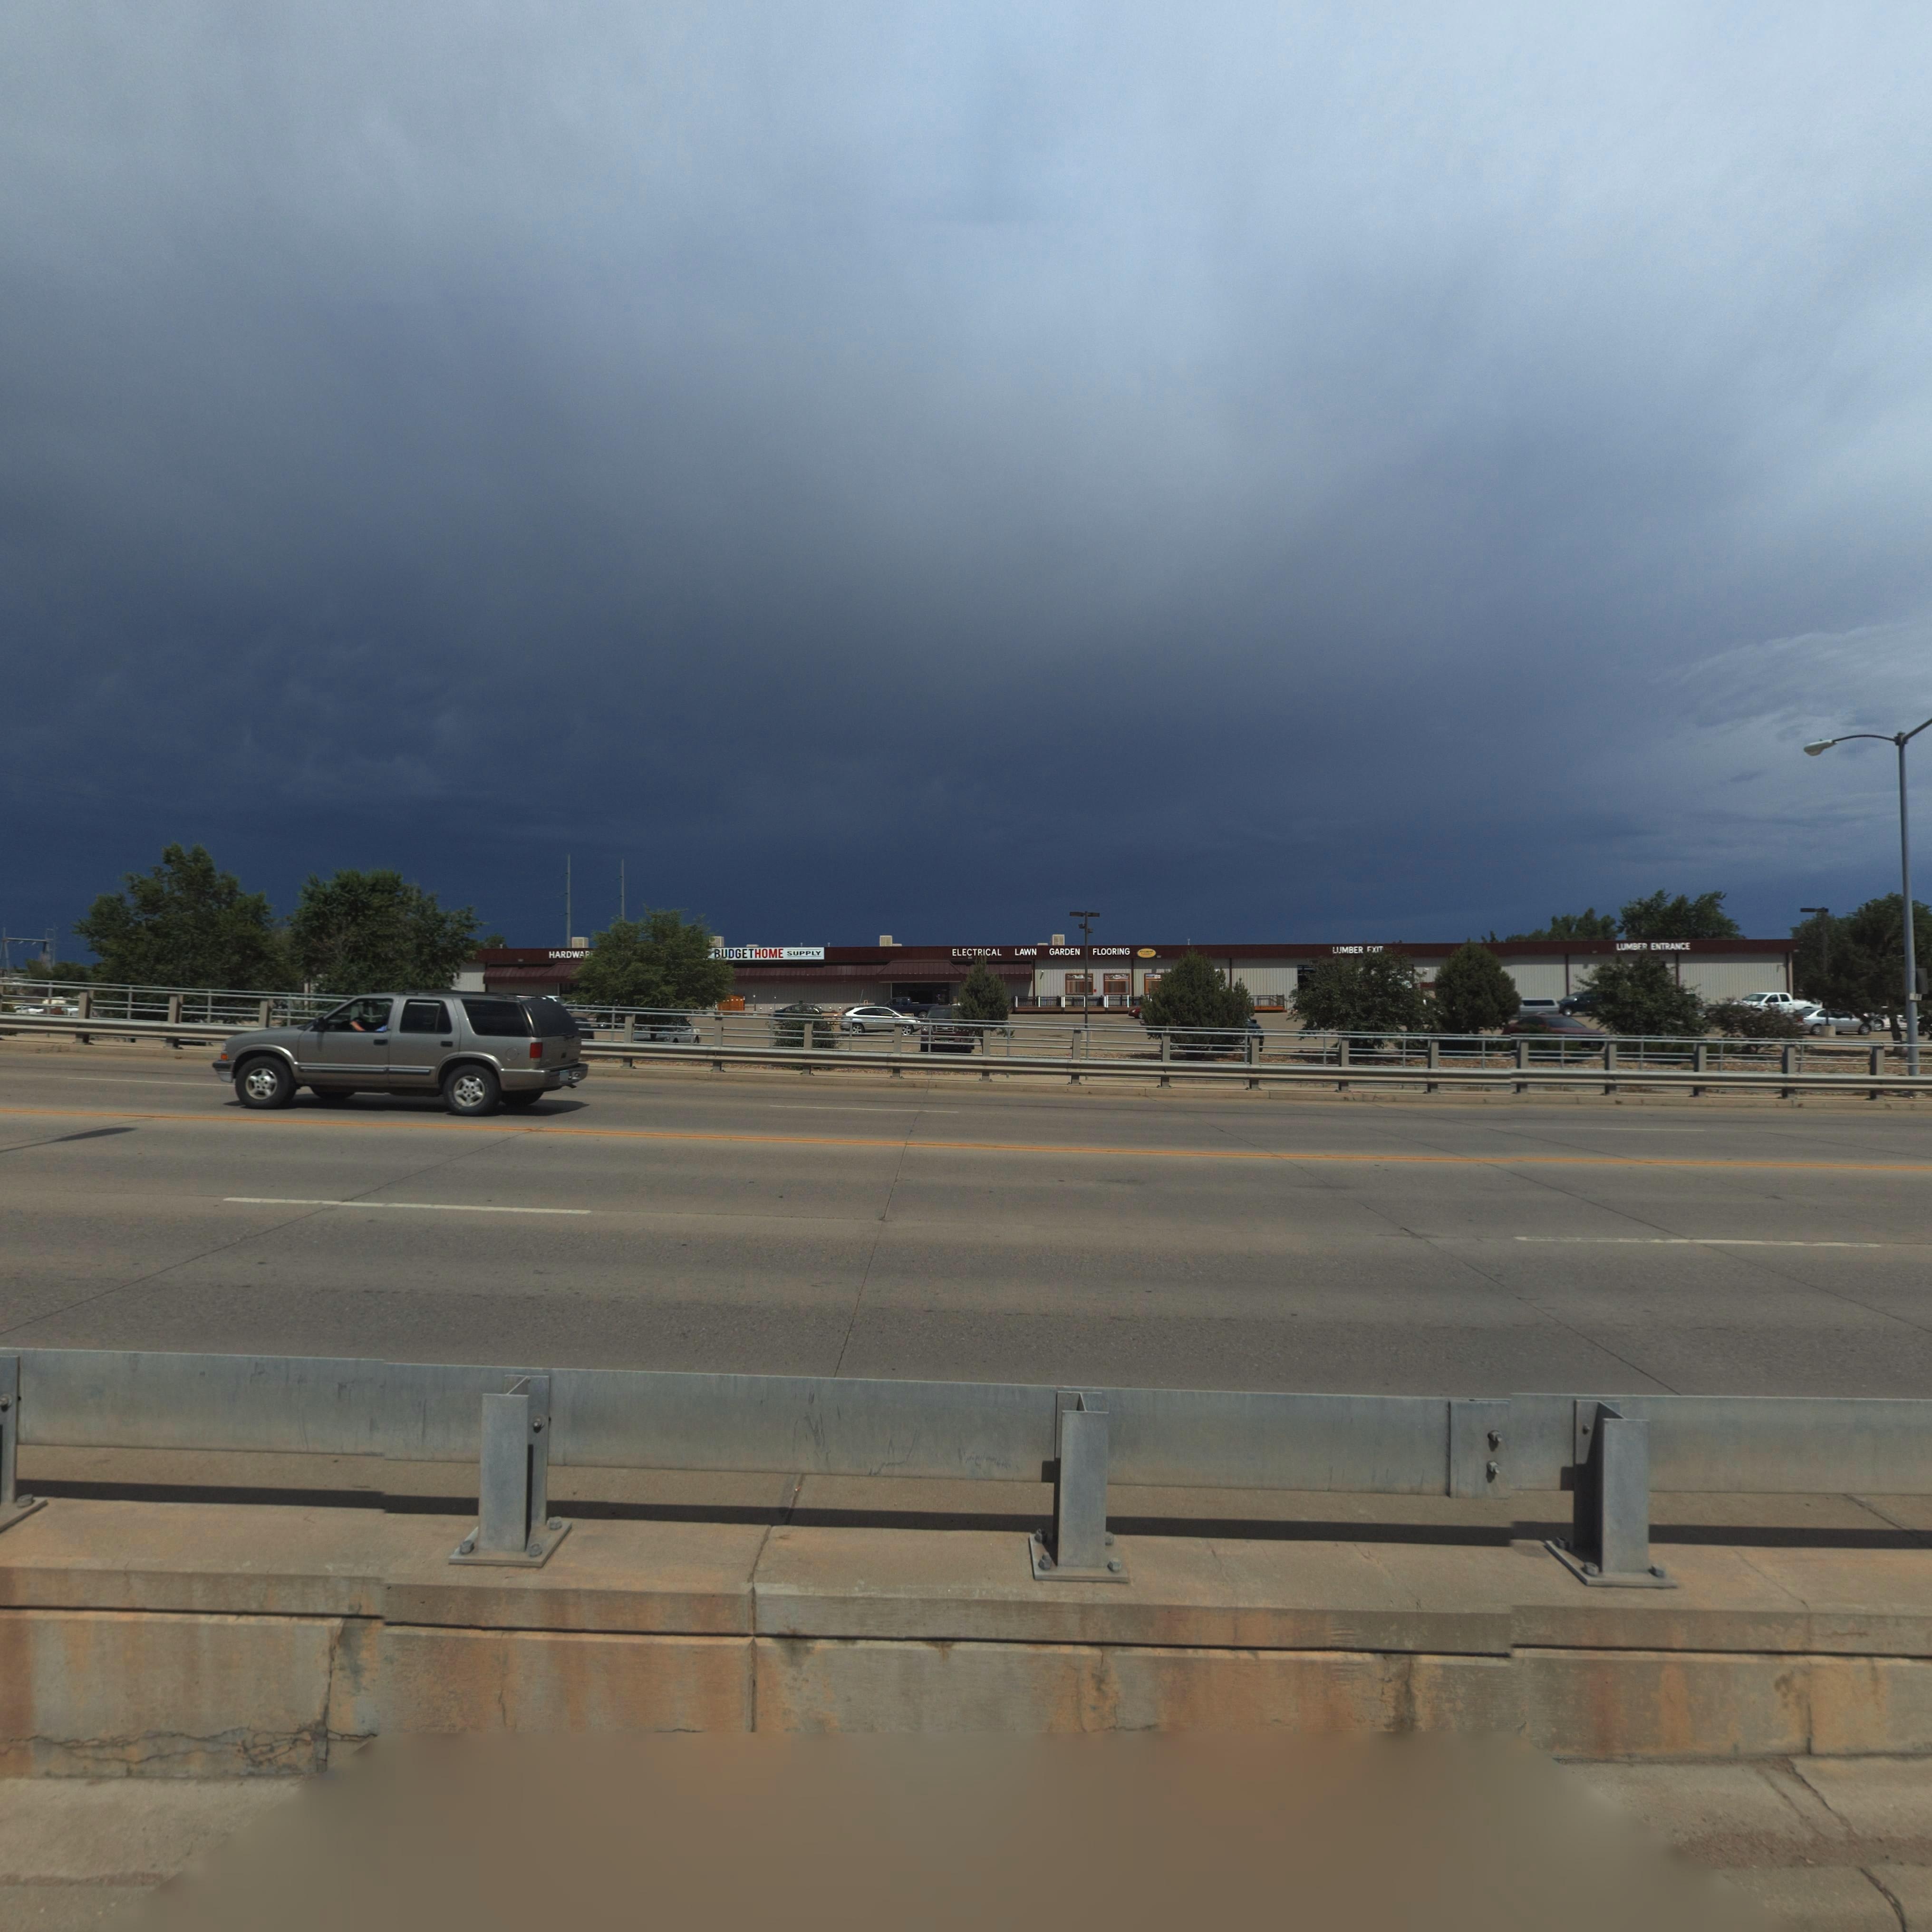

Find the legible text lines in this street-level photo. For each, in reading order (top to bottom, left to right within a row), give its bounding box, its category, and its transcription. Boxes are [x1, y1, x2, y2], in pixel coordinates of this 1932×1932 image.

[714, 947, 822, 958] BusinessName: BUDGETHOME SUPPLY